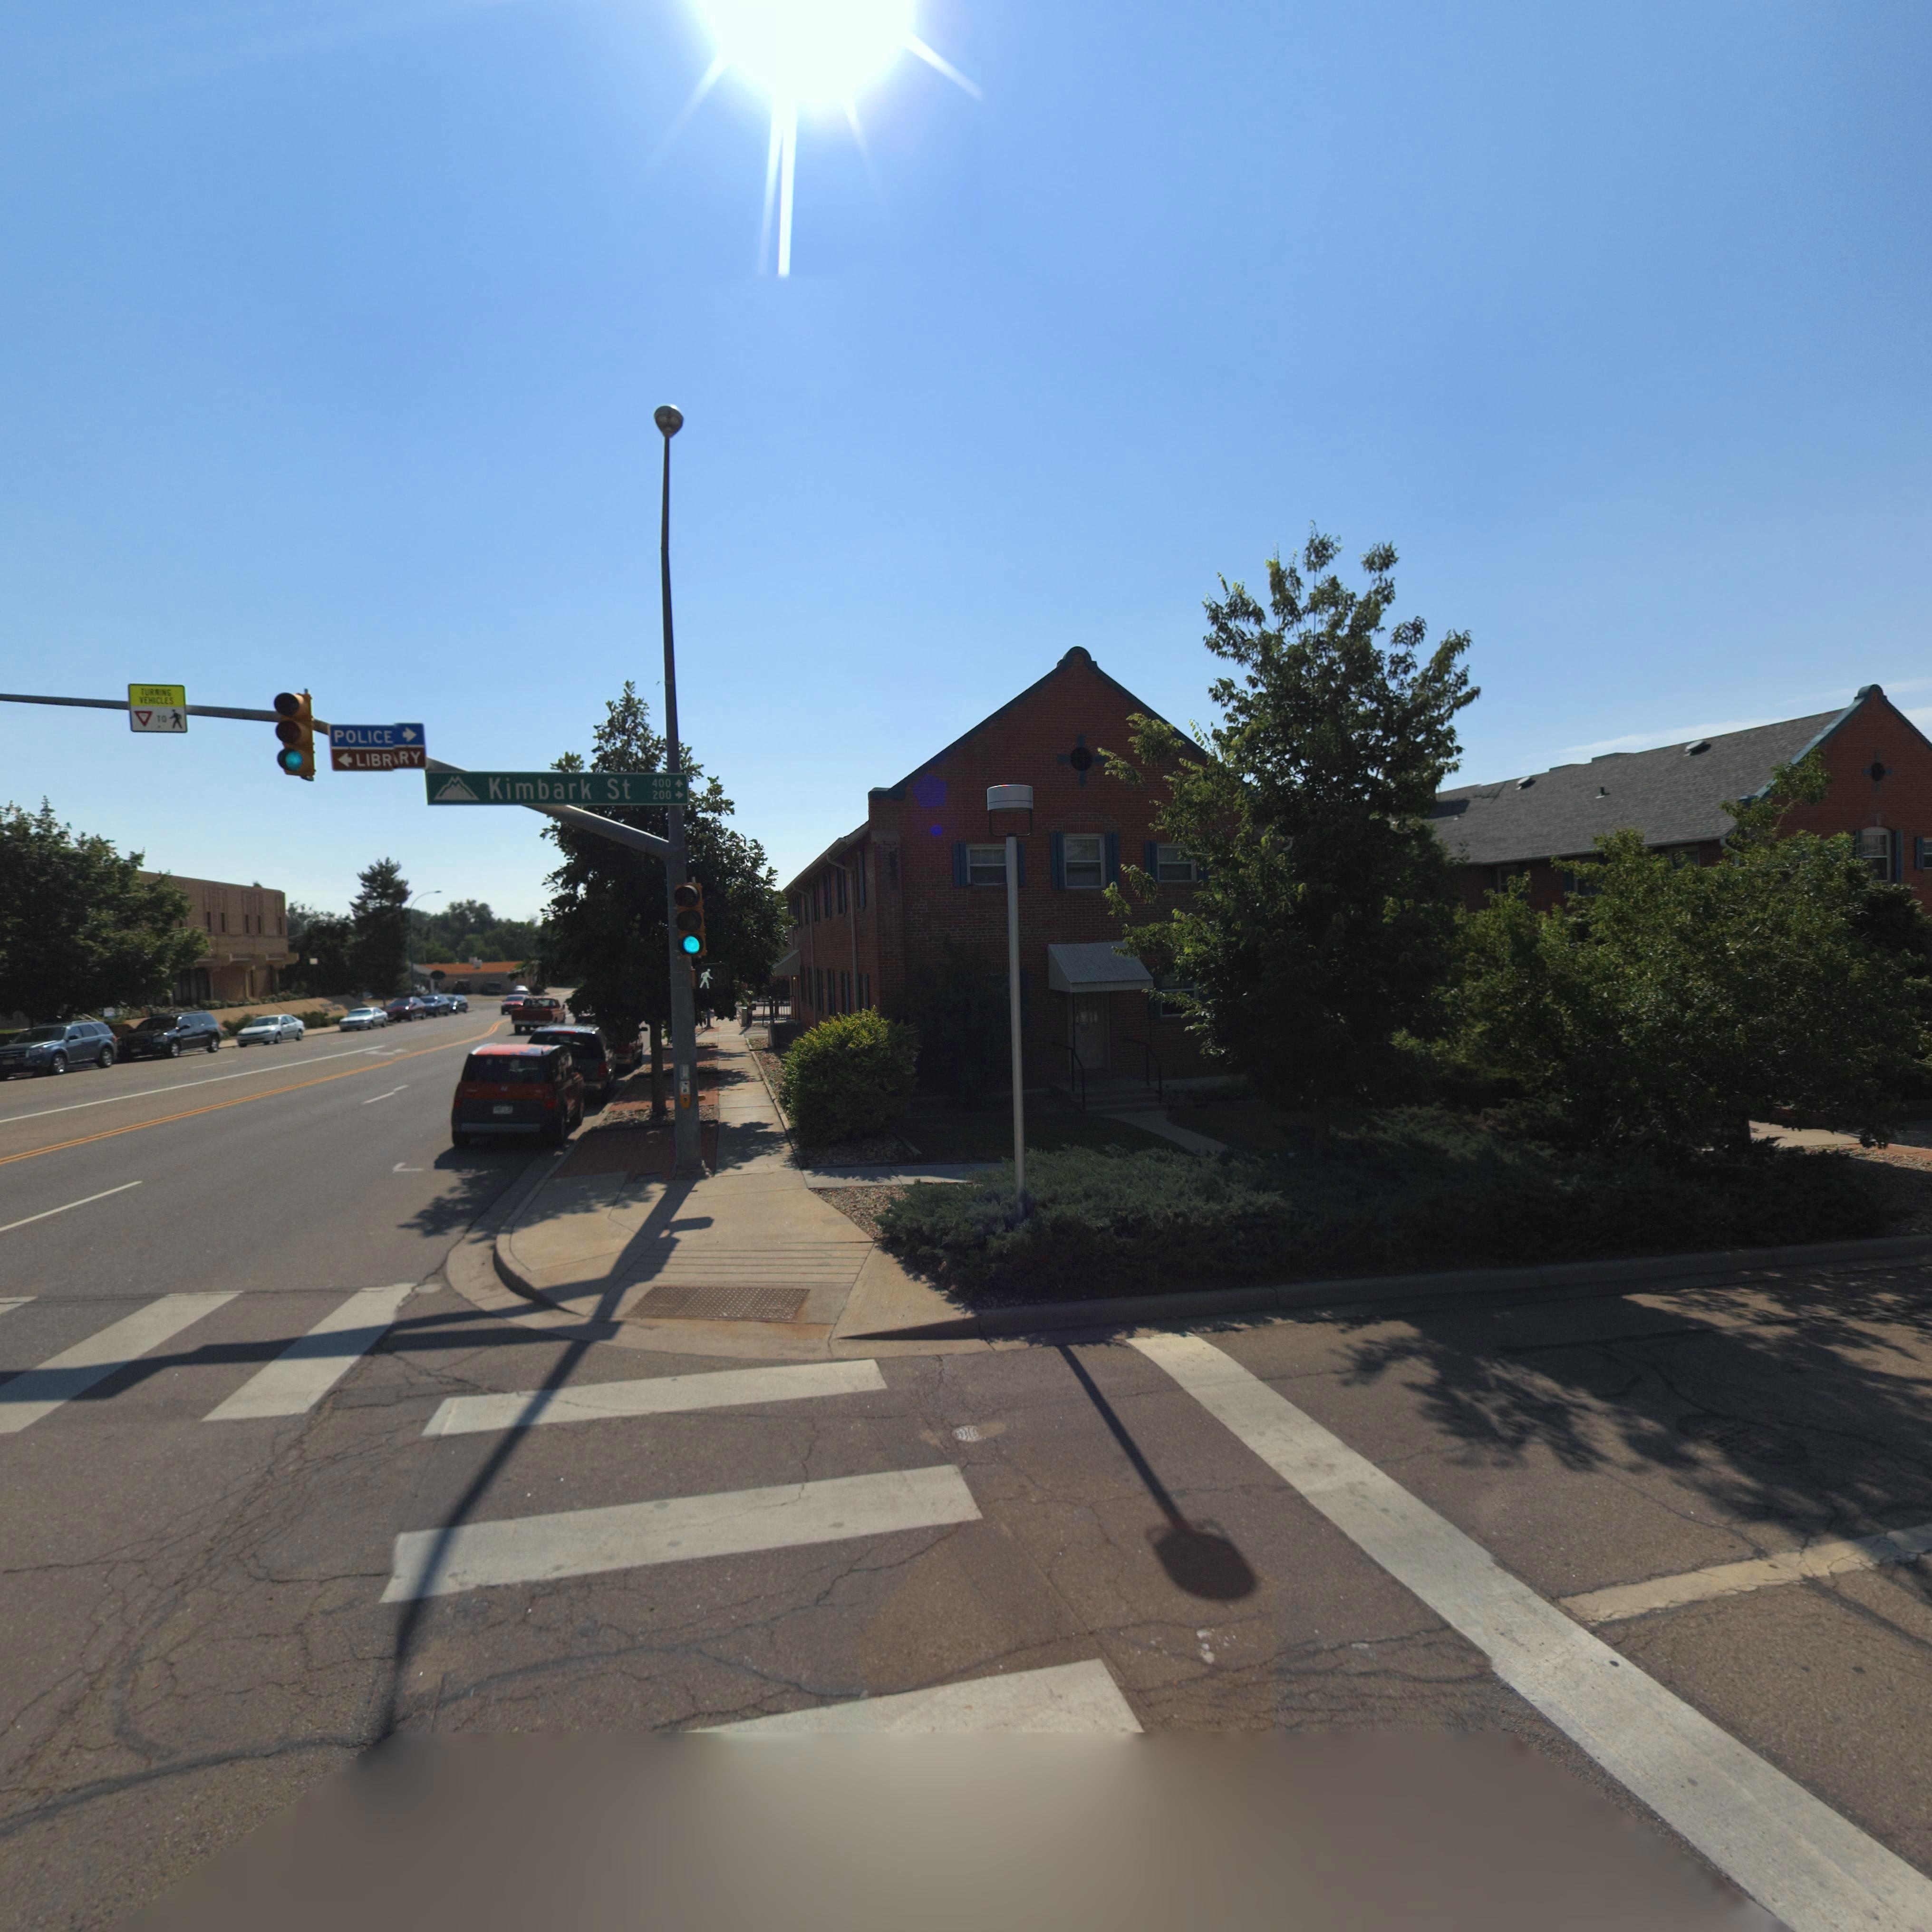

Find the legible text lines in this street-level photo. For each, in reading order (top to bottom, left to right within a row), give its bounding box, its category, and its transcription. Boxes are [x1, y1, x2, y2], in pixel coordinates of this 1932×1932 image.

[651, 778, 671, 788] StreetNumberRange: 400
[488, 777, 632, 800] StreetName: Kimbark St
[652, 790, 683, 800] StreetNumberRange: 200 ->
[1053, 998, 1056, 1004] StreetNumber: 0